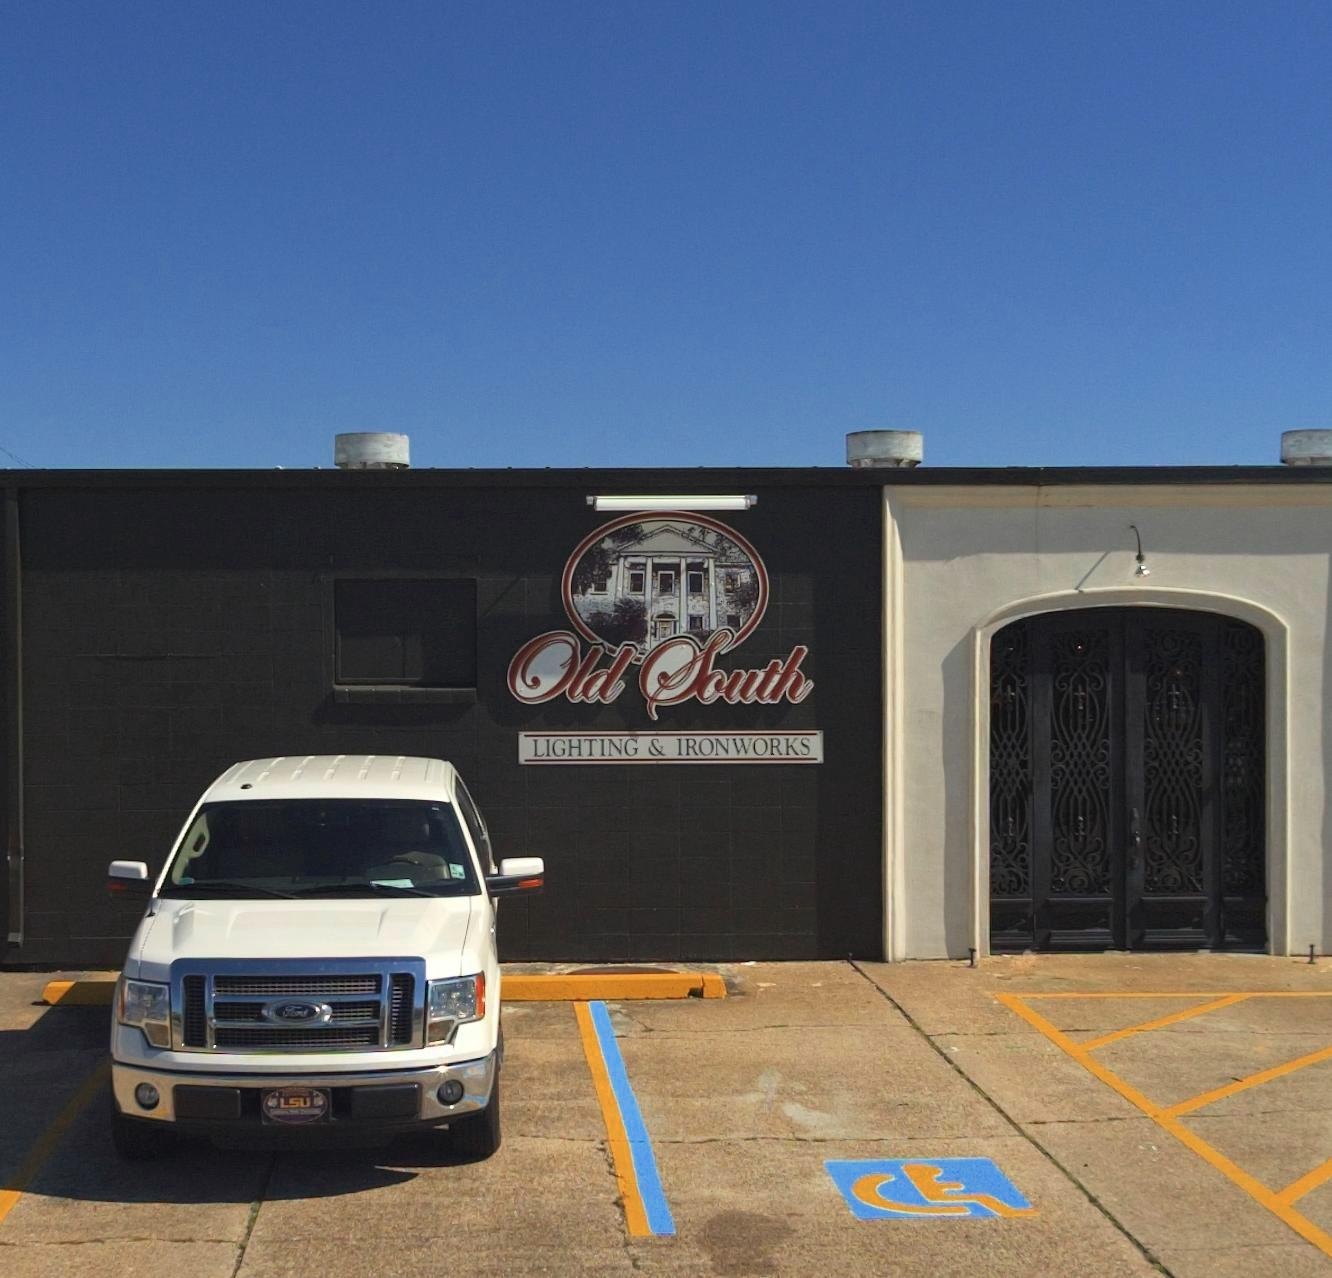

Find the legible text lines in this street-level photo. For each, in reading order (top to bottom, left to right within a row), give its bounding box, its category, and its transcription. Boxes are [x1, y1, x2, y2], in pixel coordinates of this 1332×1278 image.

[500, 624, 818, 725] BusinessName: Old South
[530, 734, 813, 759] BusinessName: LIGHTING & IRONWORKS
[278, 1094, 313, 1112] None: LSU